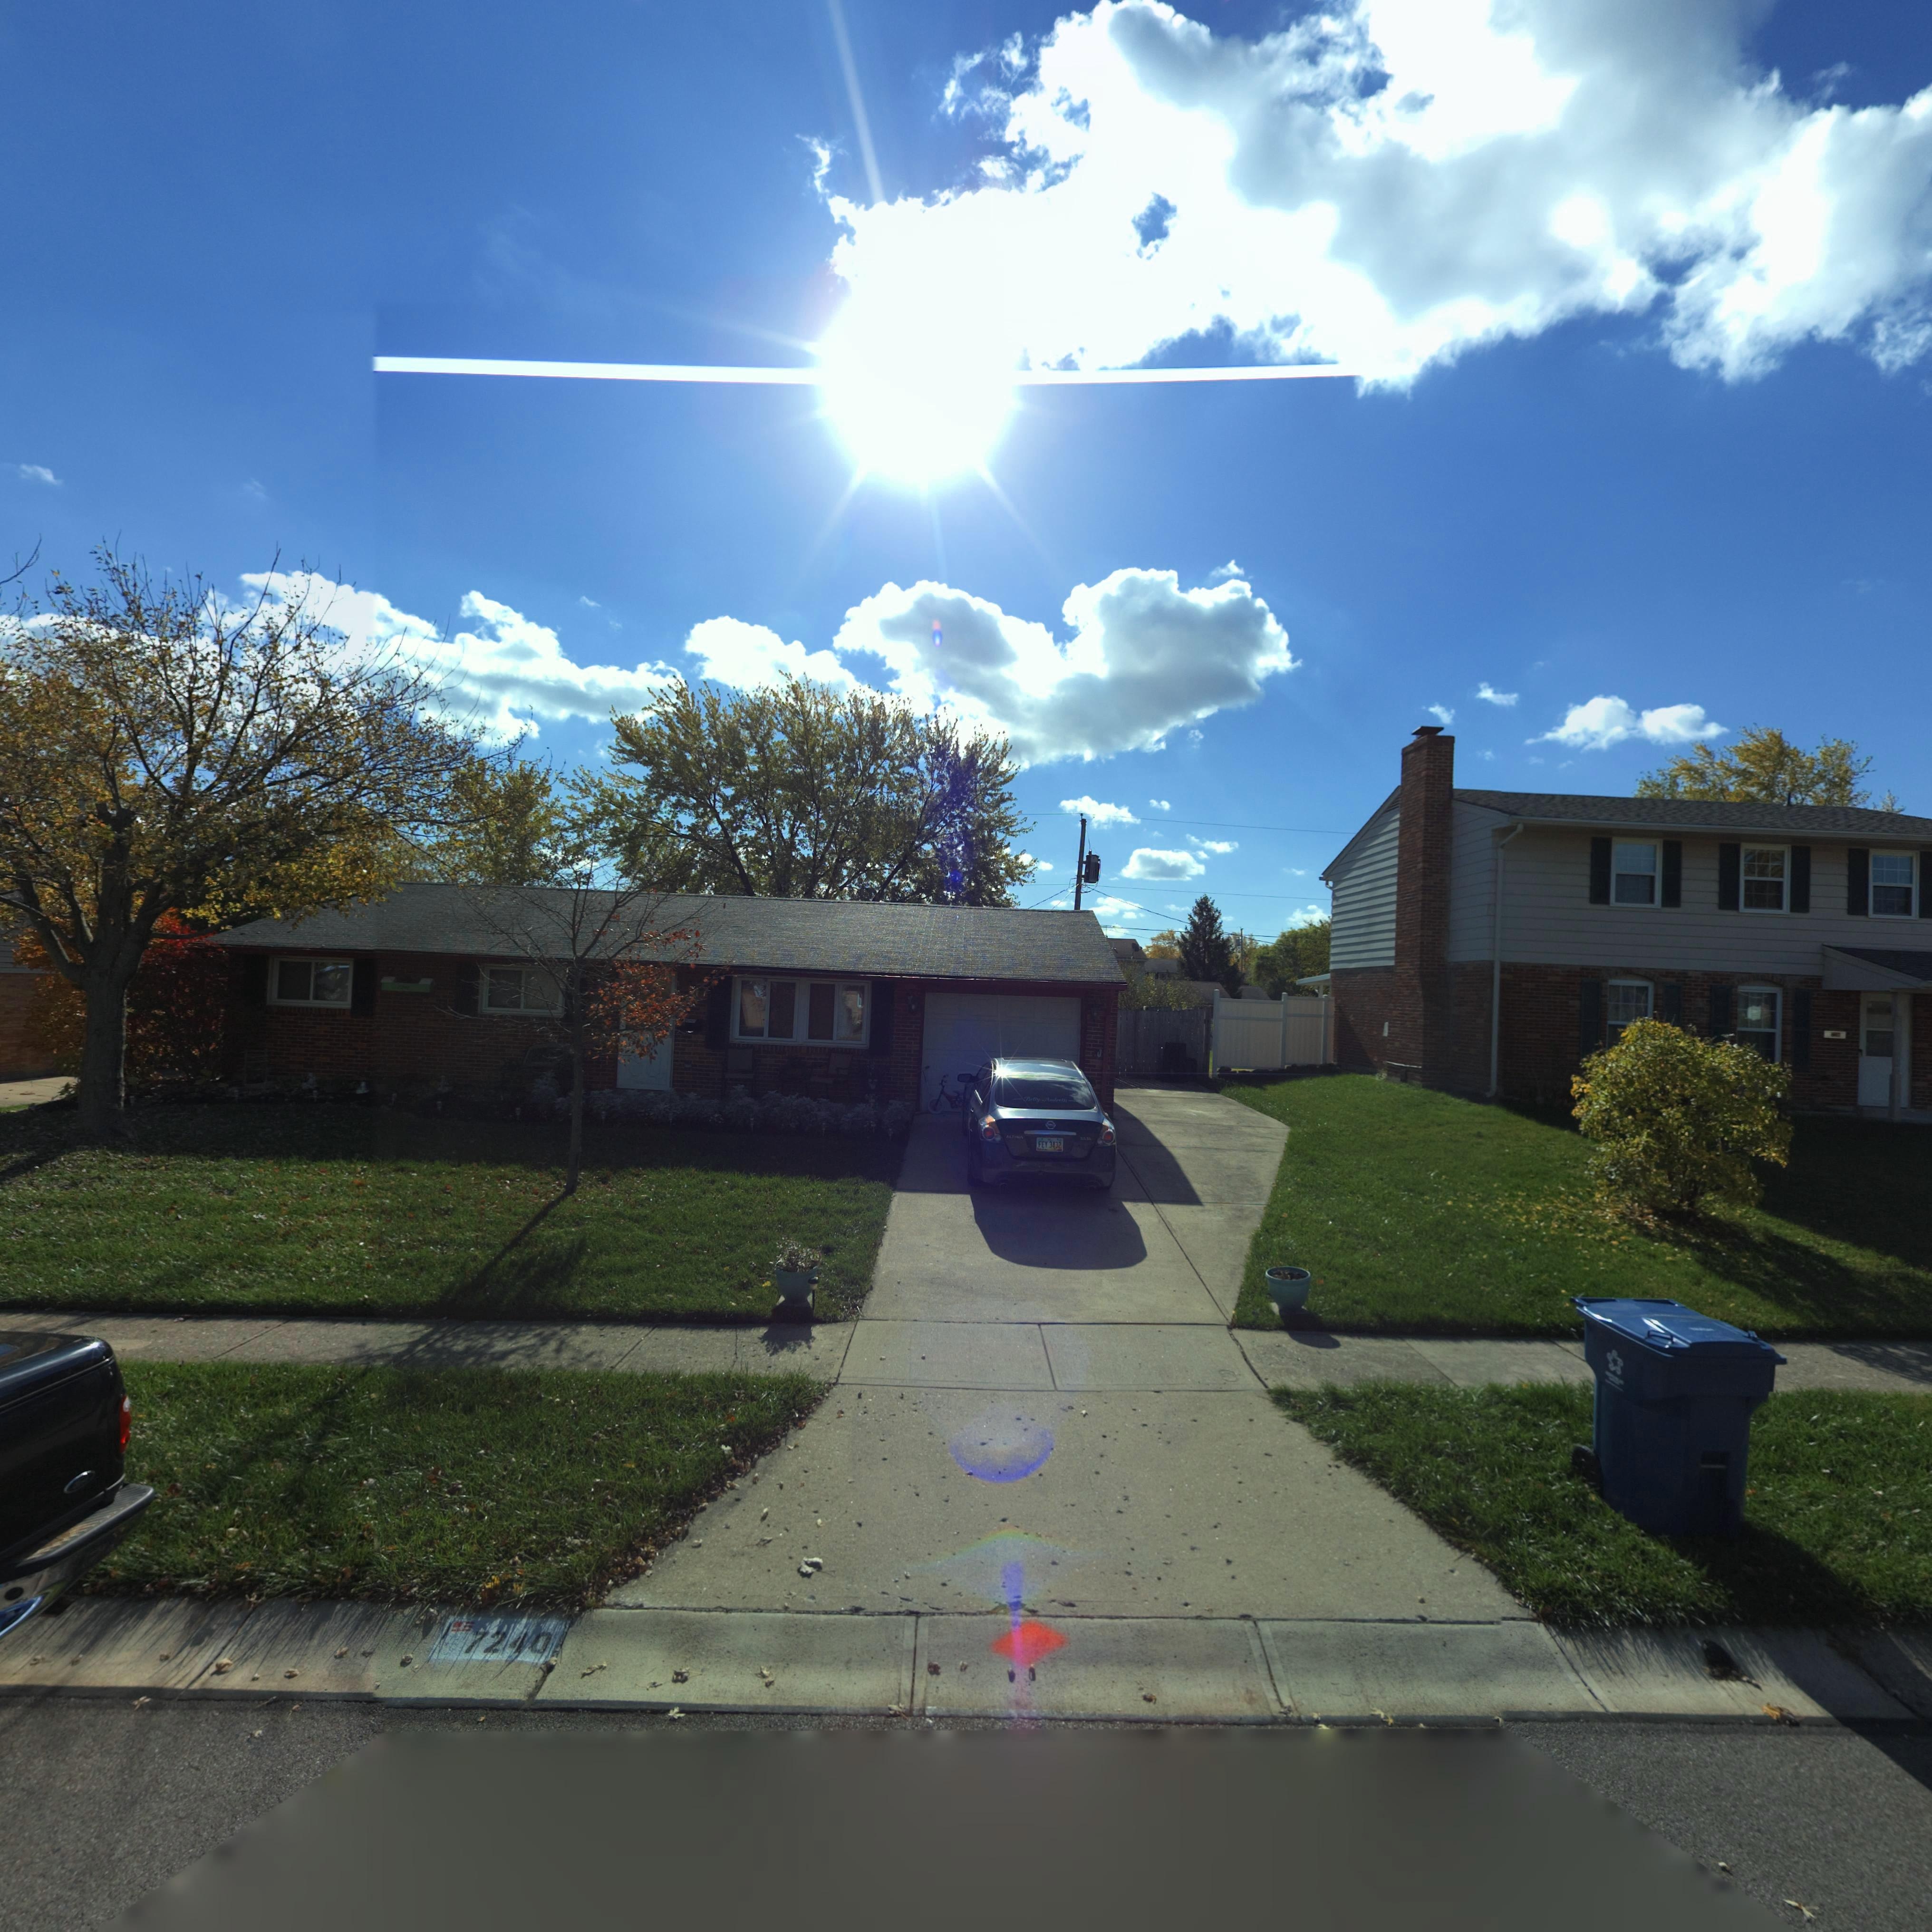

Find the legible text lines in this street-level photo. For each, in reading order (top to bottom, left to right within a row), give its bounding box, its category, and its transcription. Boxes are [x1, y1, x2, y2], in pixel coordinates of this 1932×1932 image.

[462, 1629, 554, 1656] StreetNumber: 7240